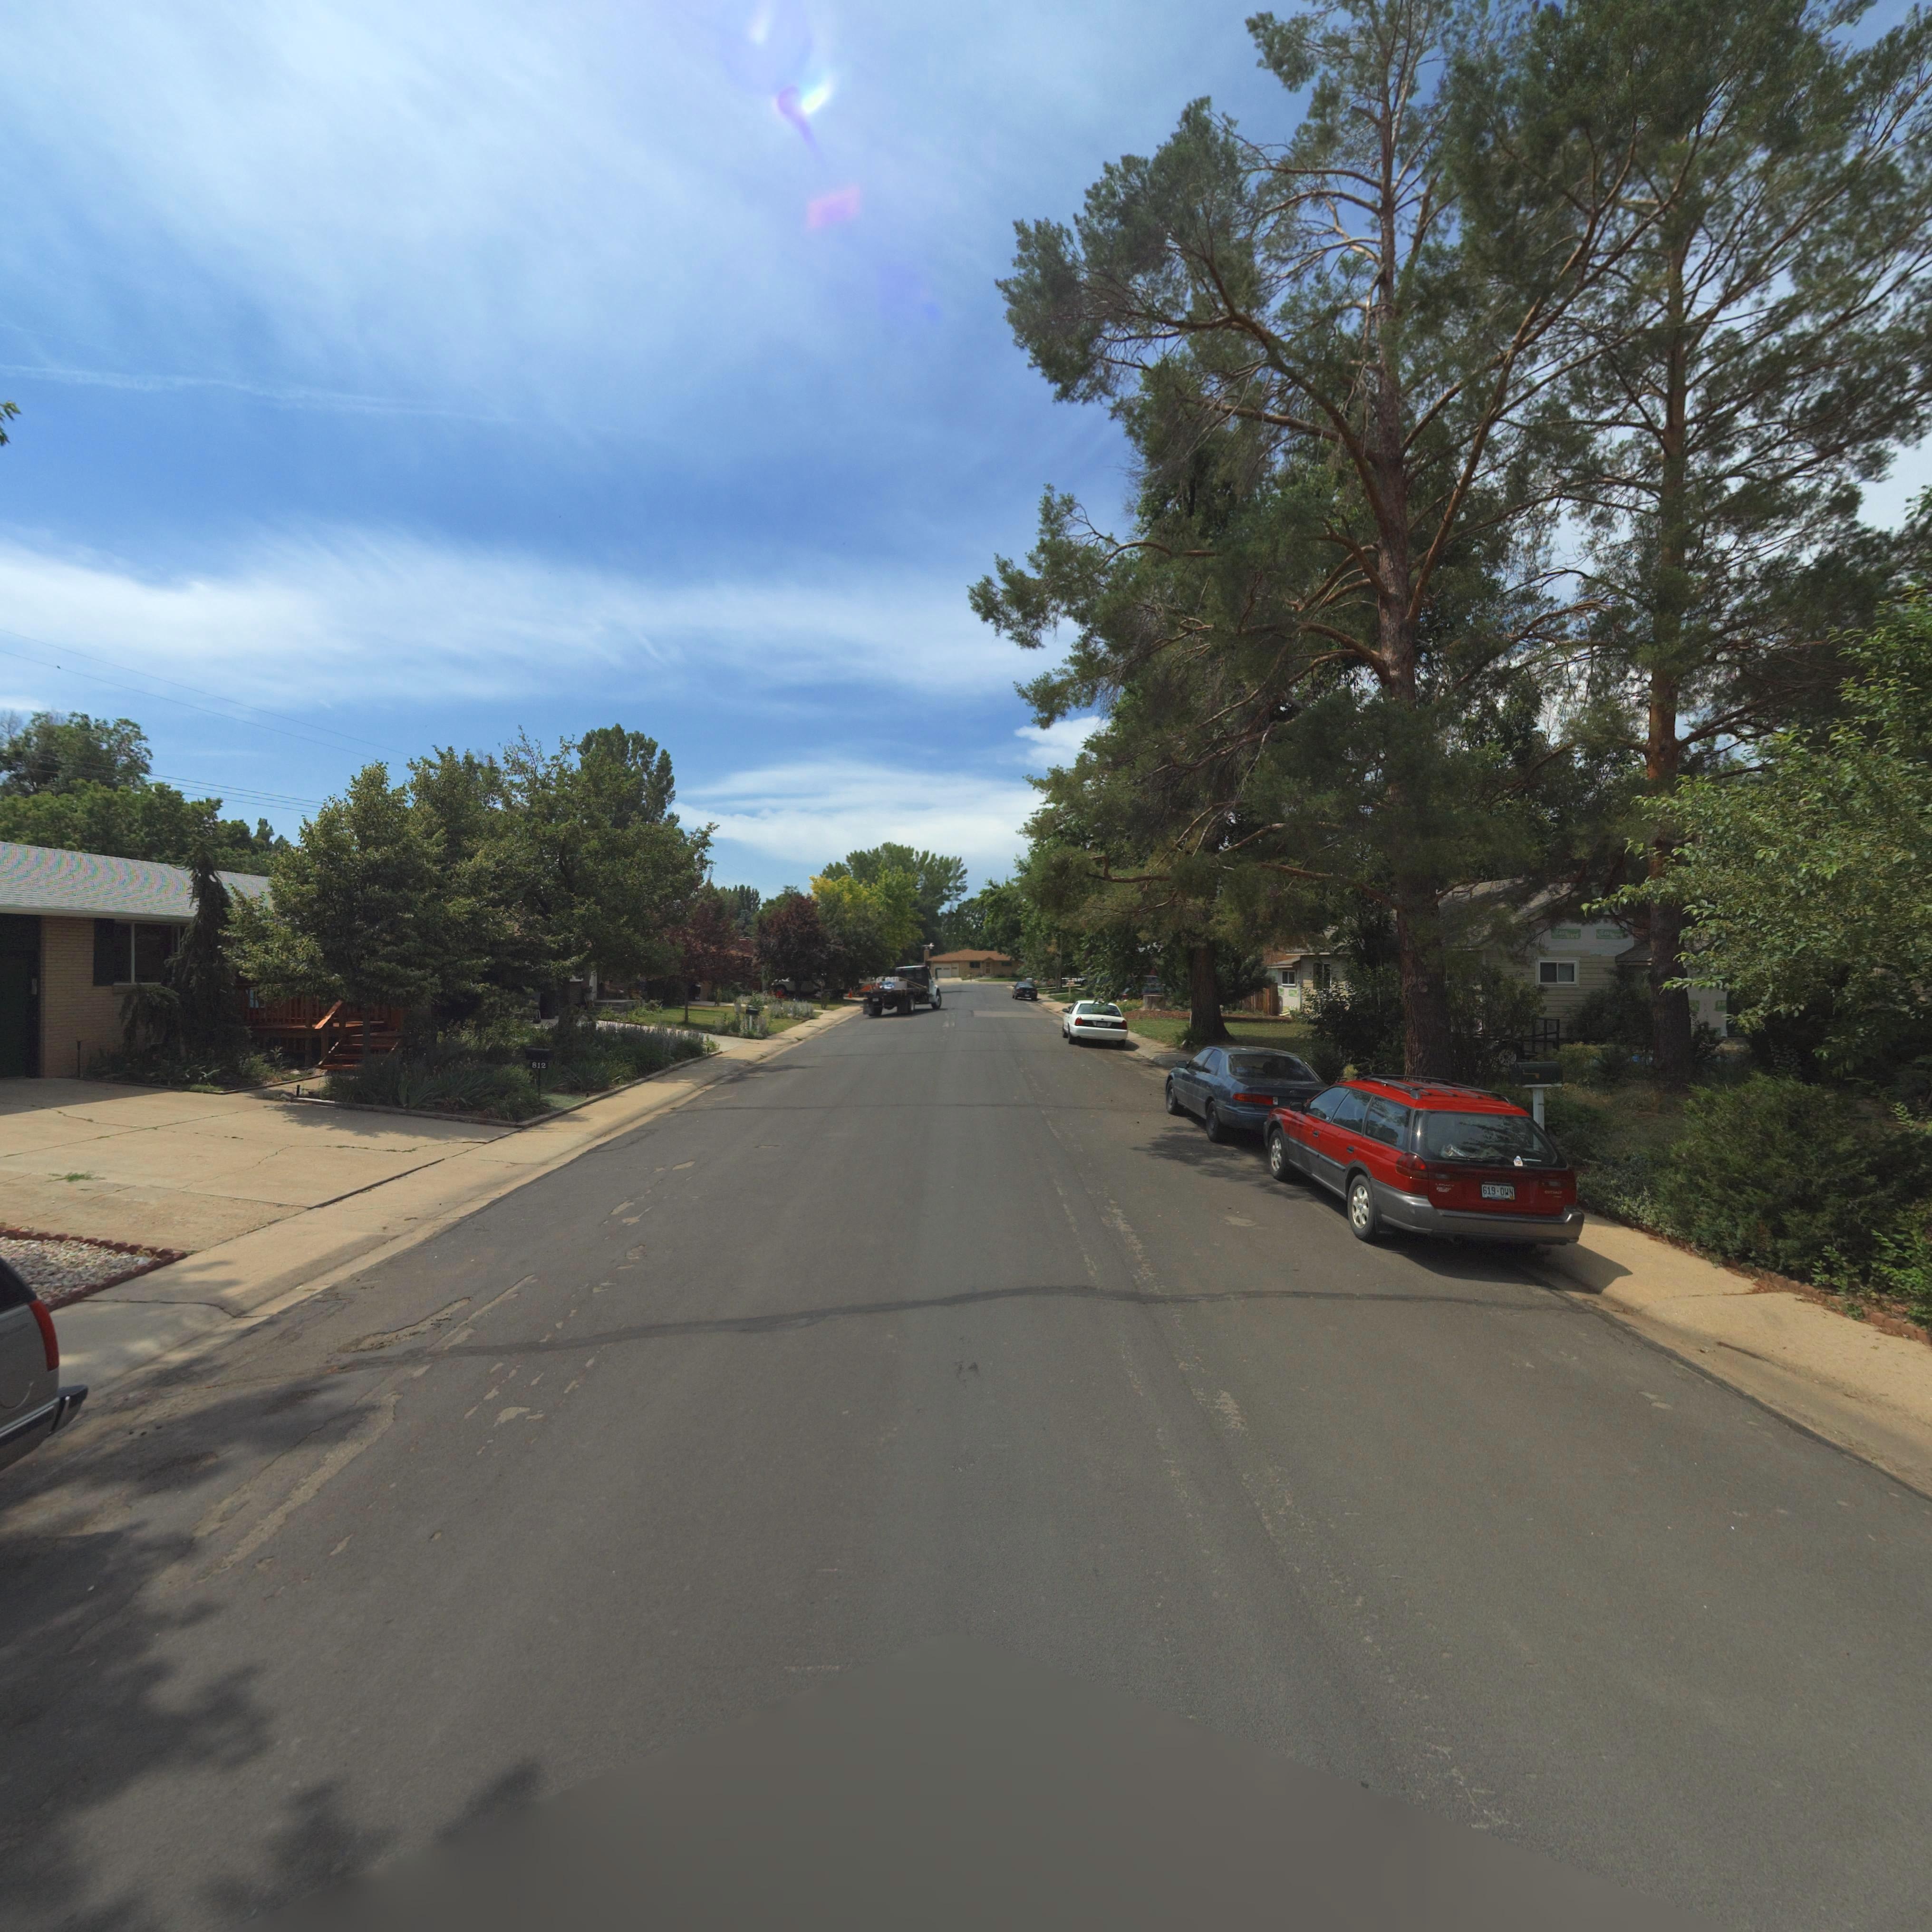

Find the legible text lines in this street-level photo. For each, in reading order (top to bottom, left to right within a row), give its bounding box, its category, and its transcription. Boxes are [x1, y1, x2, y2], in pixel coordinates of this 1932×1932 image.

[532, 1062, 546, 1069] StreetNumber: 812